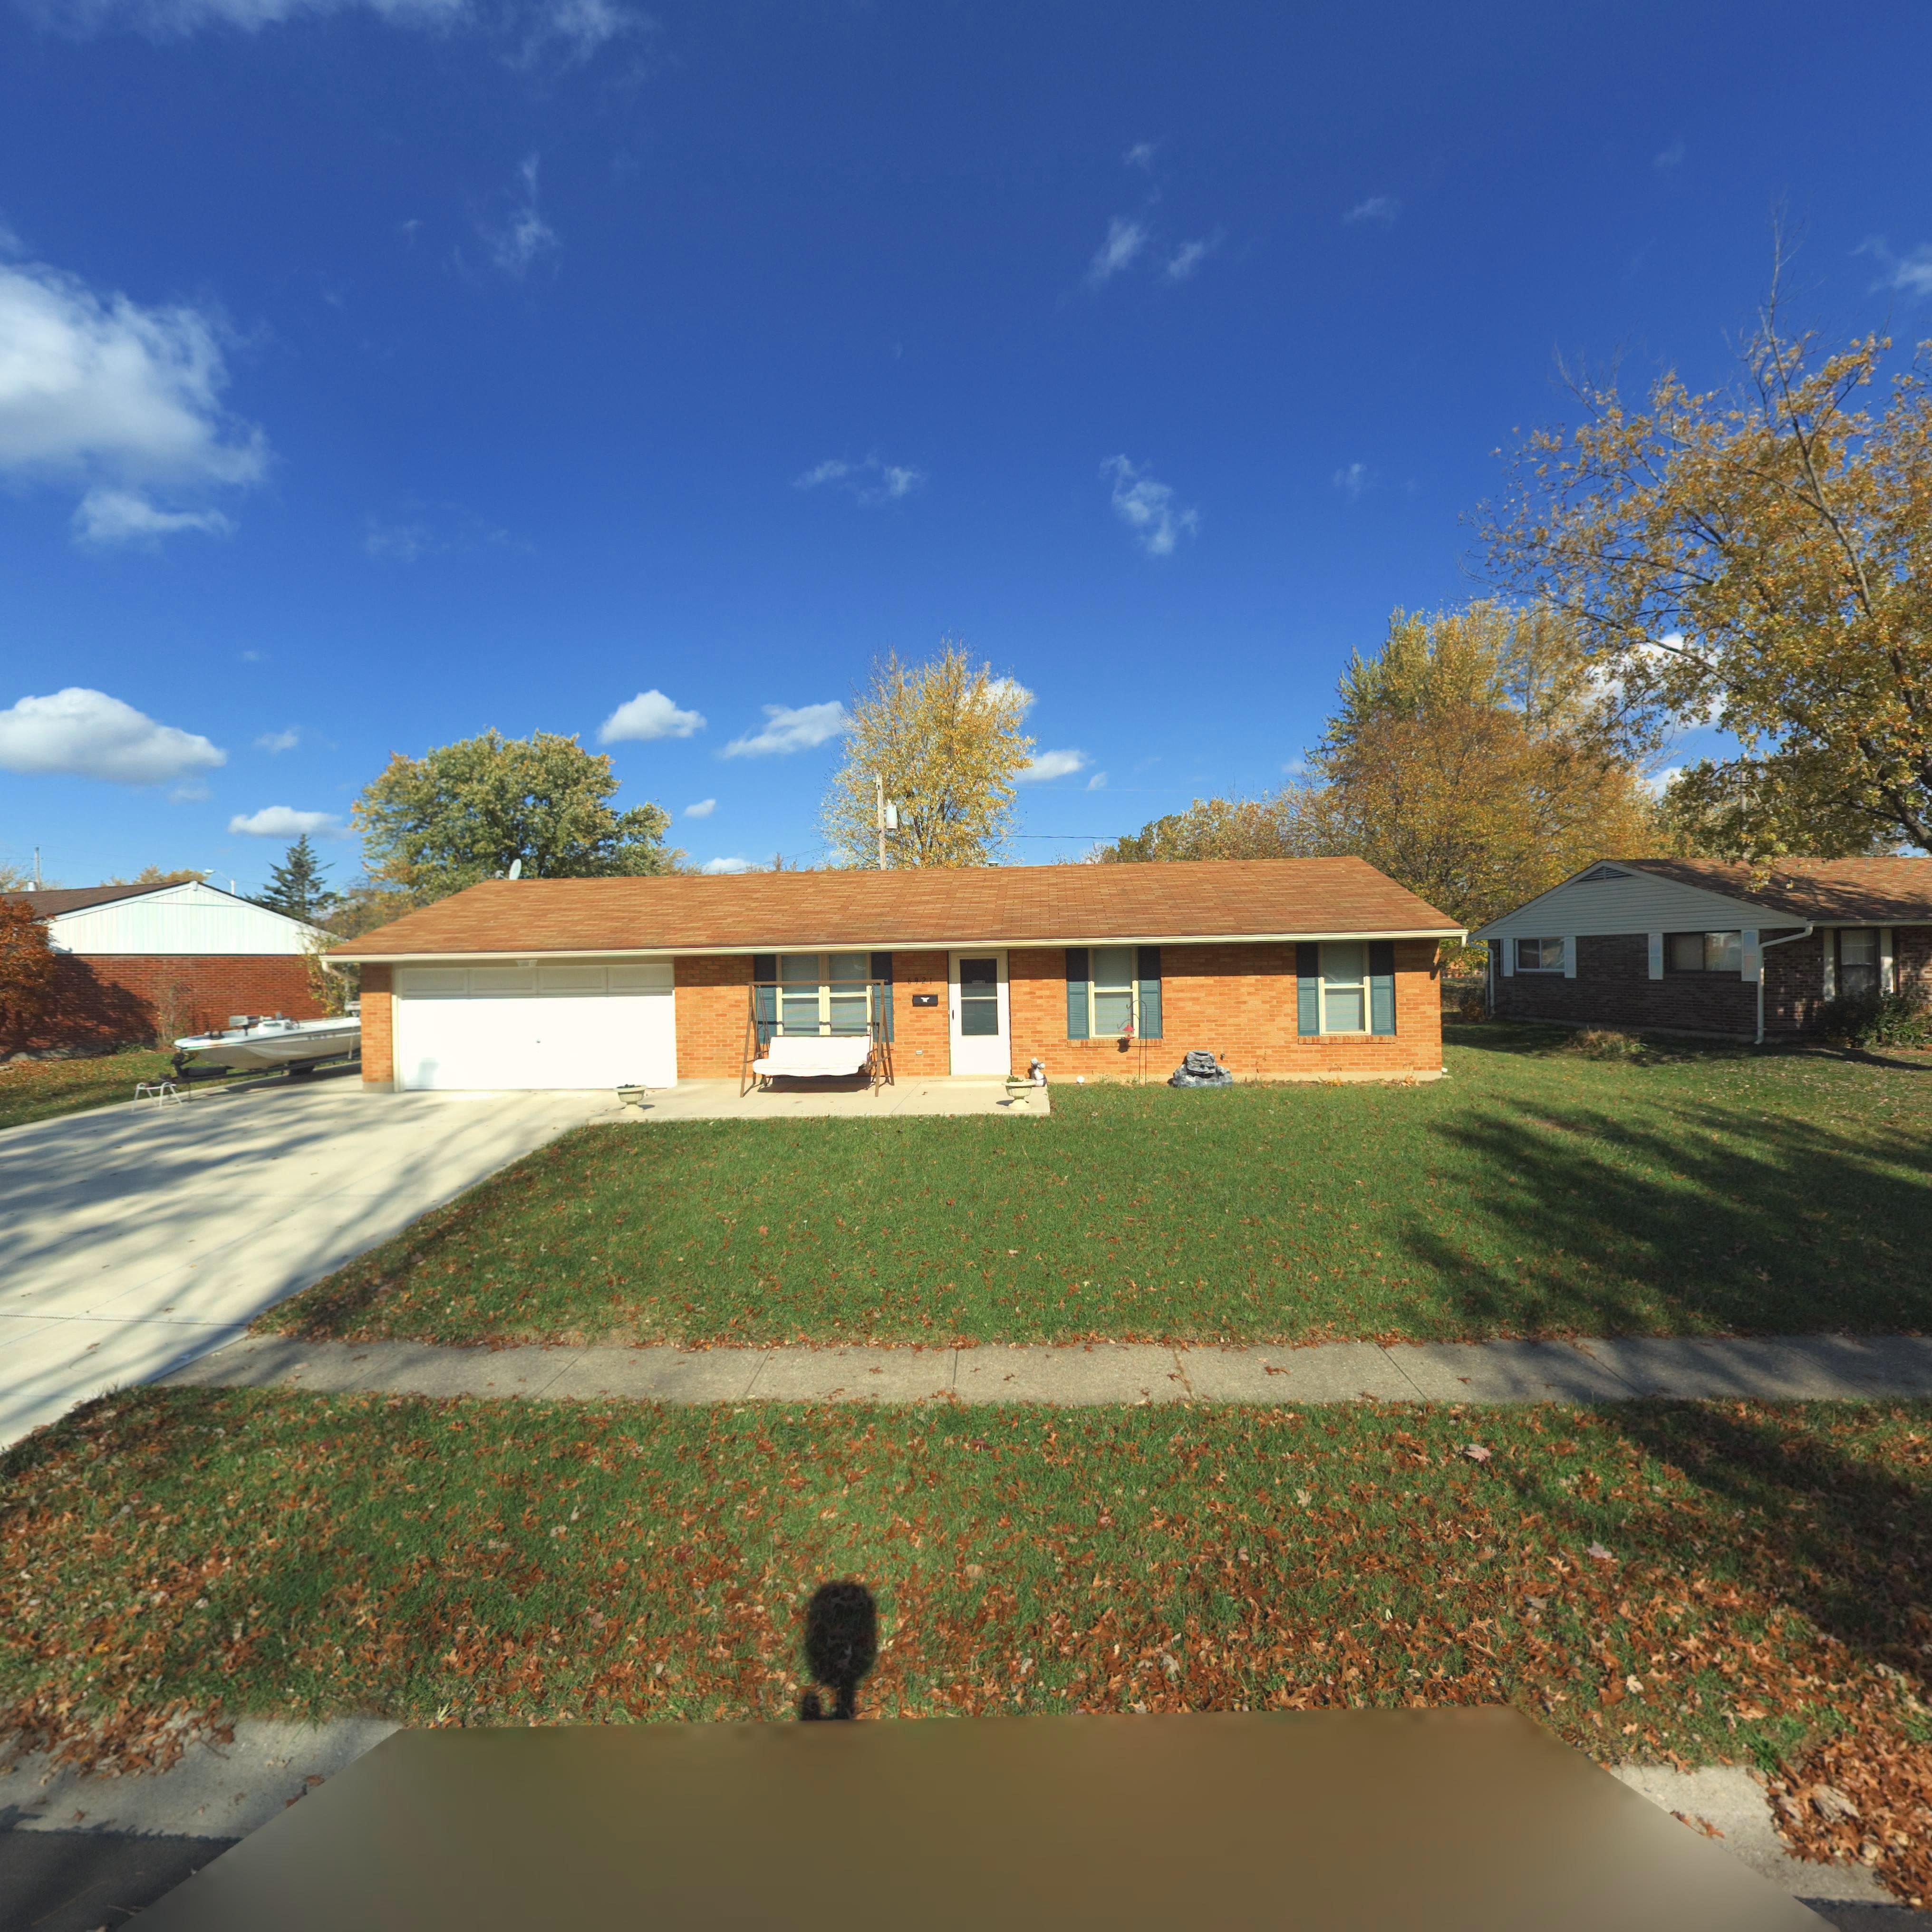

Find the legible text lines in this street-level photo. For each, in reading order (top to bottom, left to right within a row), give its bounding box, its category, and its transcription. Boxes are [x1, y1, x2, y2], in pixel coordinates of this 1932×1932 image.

[906, 976, 933, 986] StreetNumber: 6921